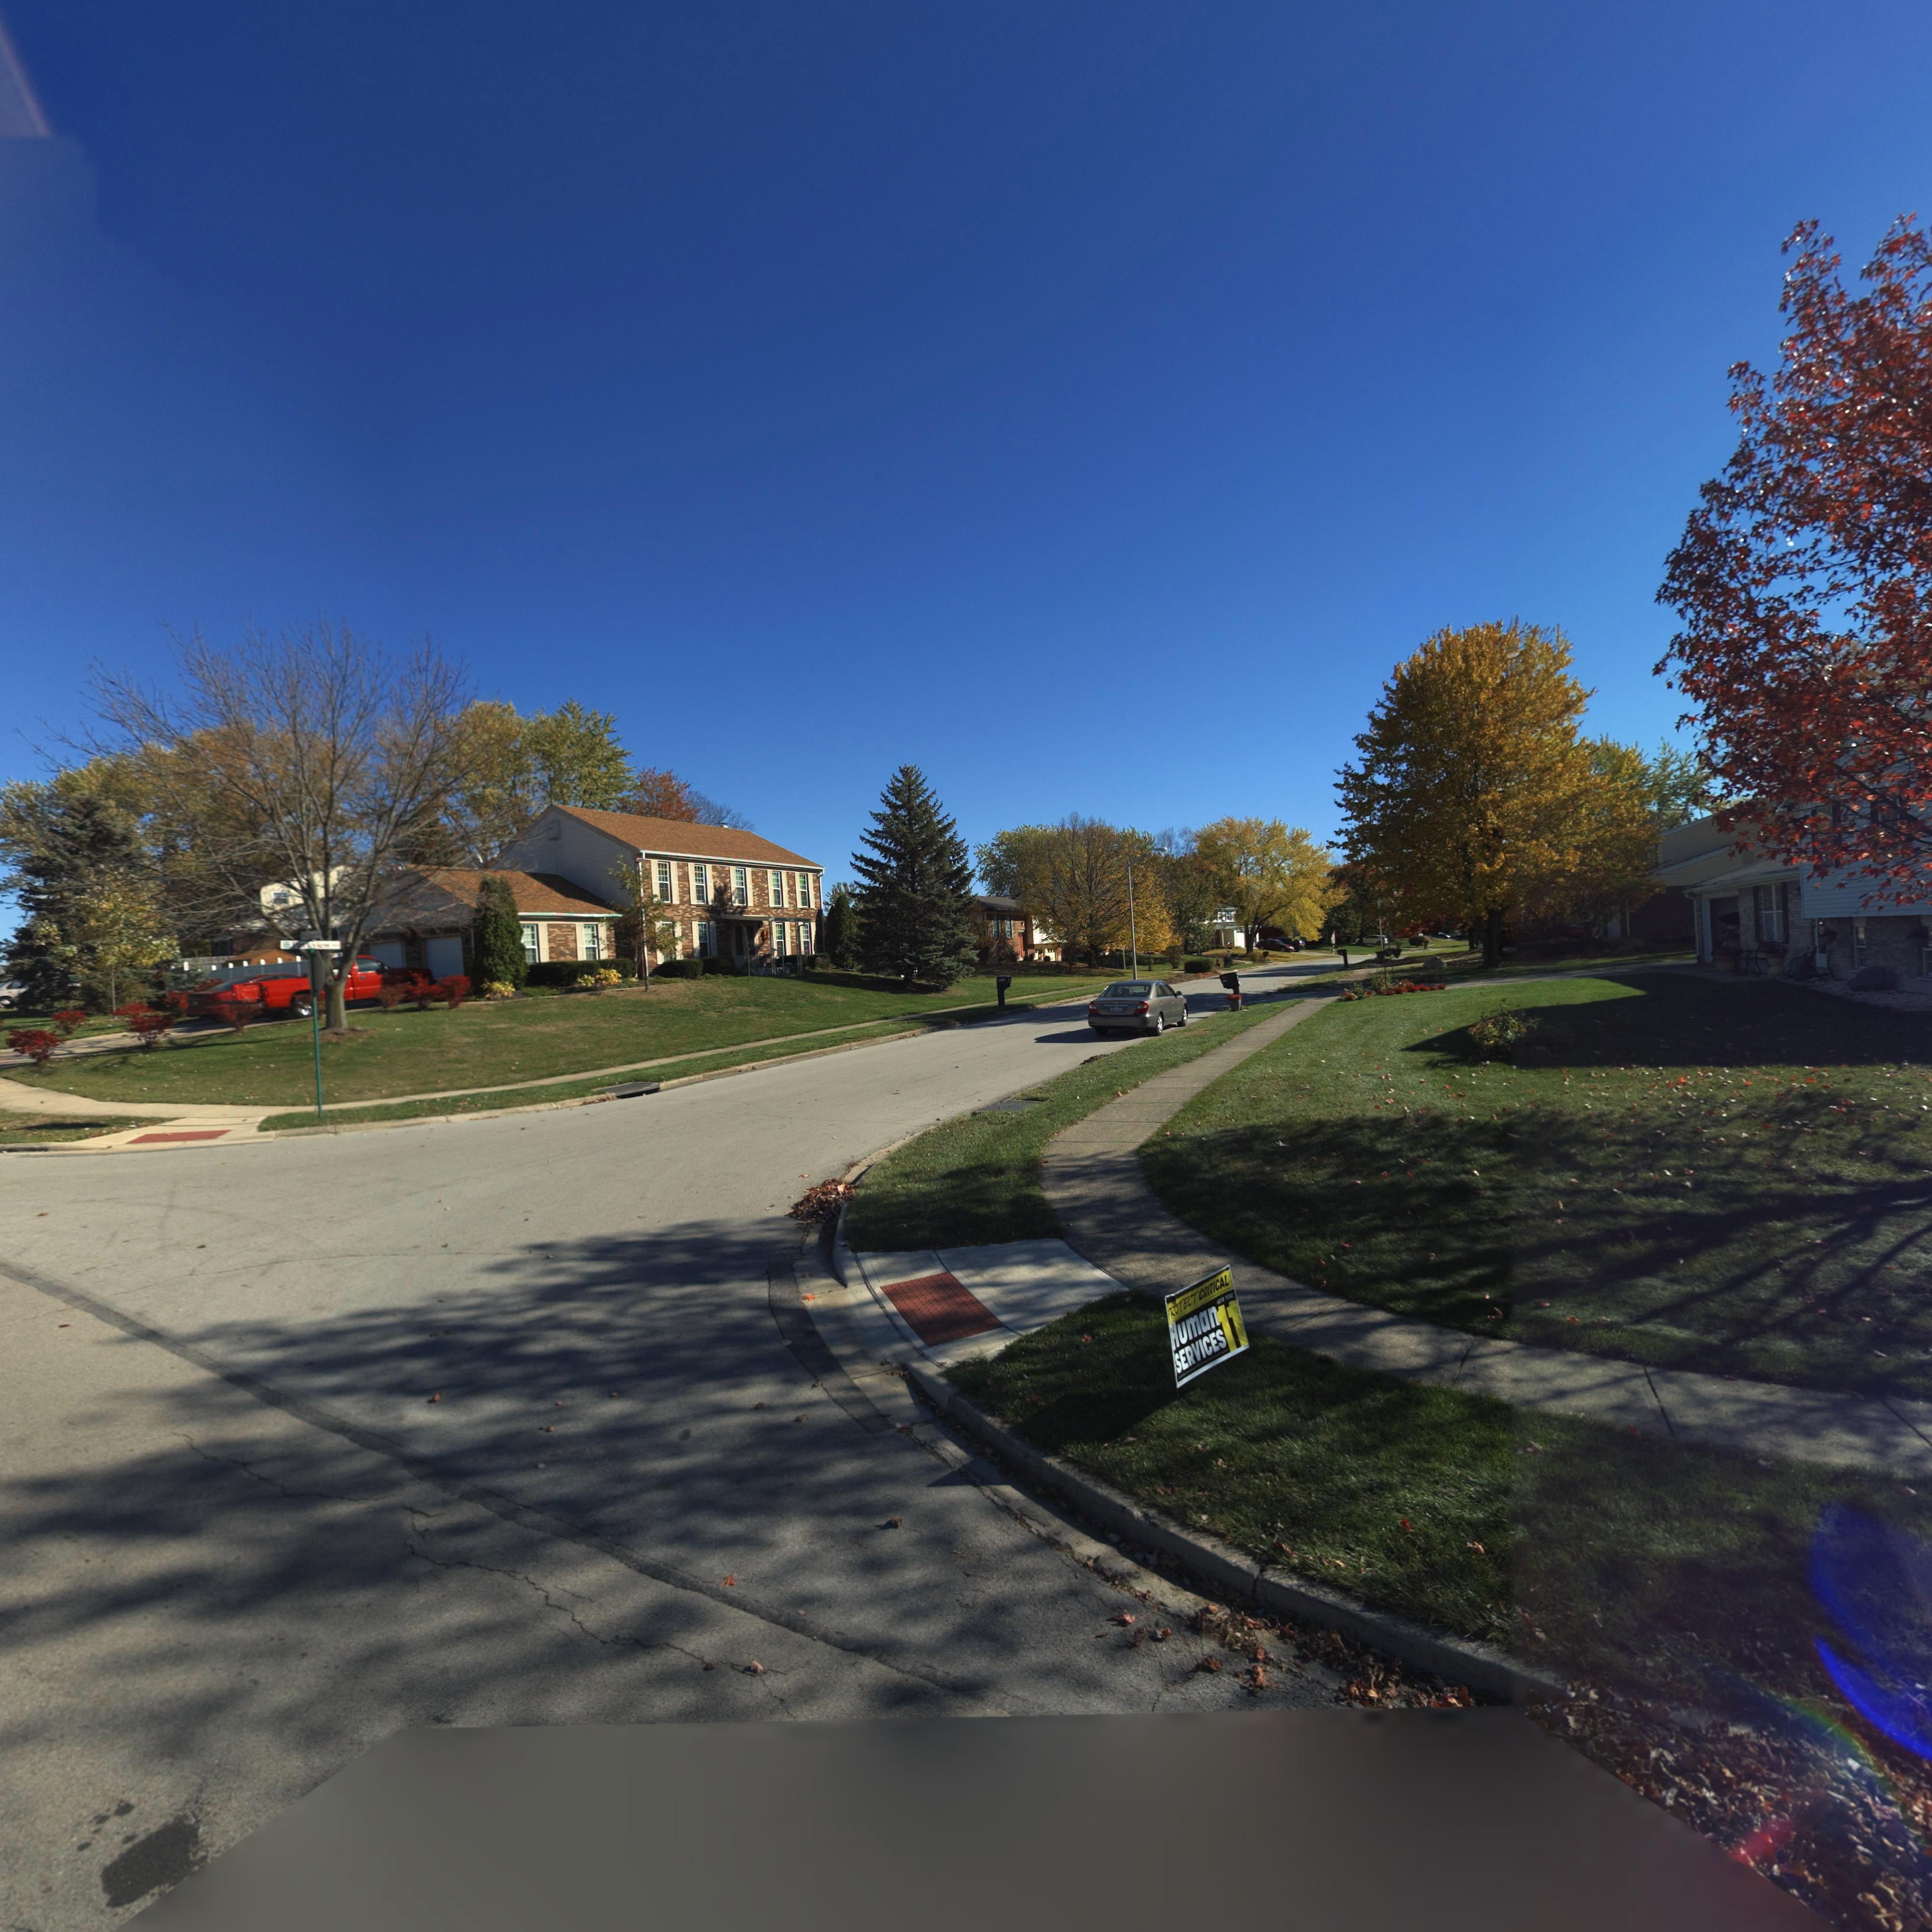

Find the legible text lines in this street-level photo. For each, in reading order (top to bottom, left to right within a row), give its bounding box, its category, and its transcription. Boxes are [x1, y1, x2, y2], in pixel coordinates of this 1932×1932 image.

[998, 978, 1006, 983] StreetNumber: ***1